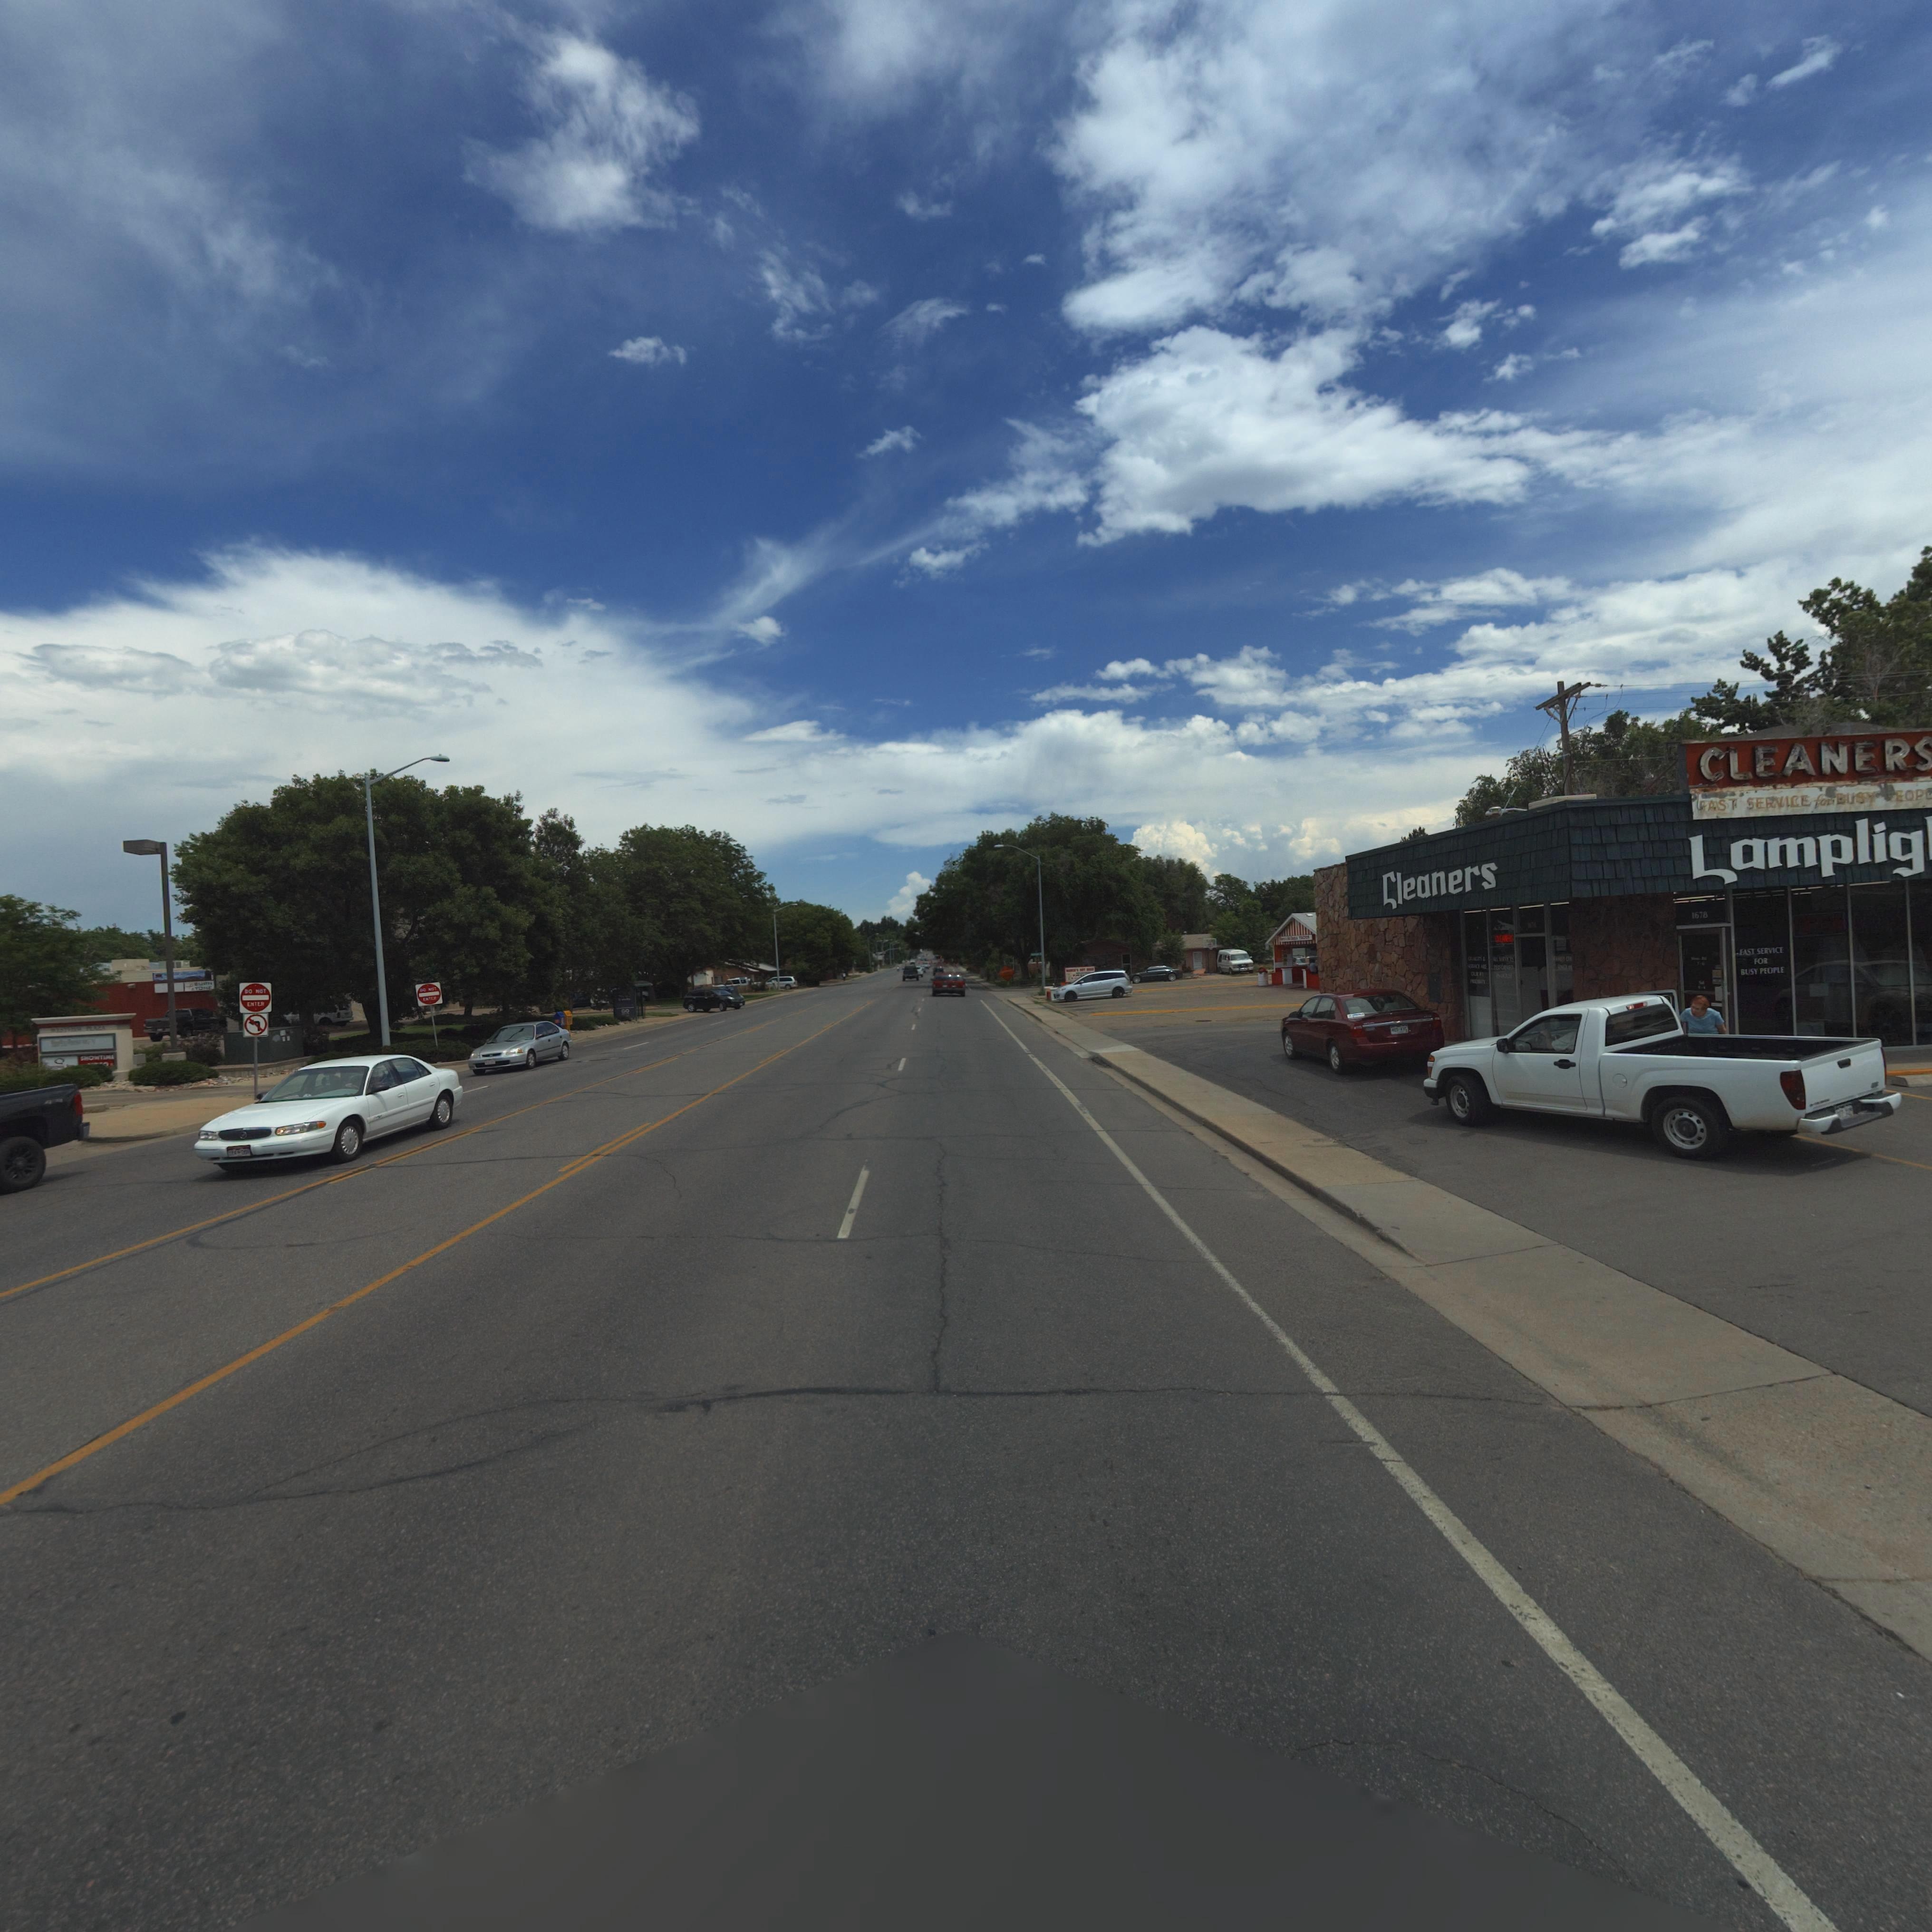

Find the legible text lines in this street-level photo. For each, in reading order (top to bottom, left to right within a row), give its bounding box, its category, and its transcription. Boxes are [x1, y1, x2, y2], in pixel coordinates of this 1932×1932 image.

[1698, 737, 1911, 782] BusinessName: CLEANER
[1687, 817, 1925, 885] BusinessName: Lamplig
[1381, 862, 1499, 910] BusinessName: Cleaners
[1690, 910, 1709, 920] StreetNumber: 1678